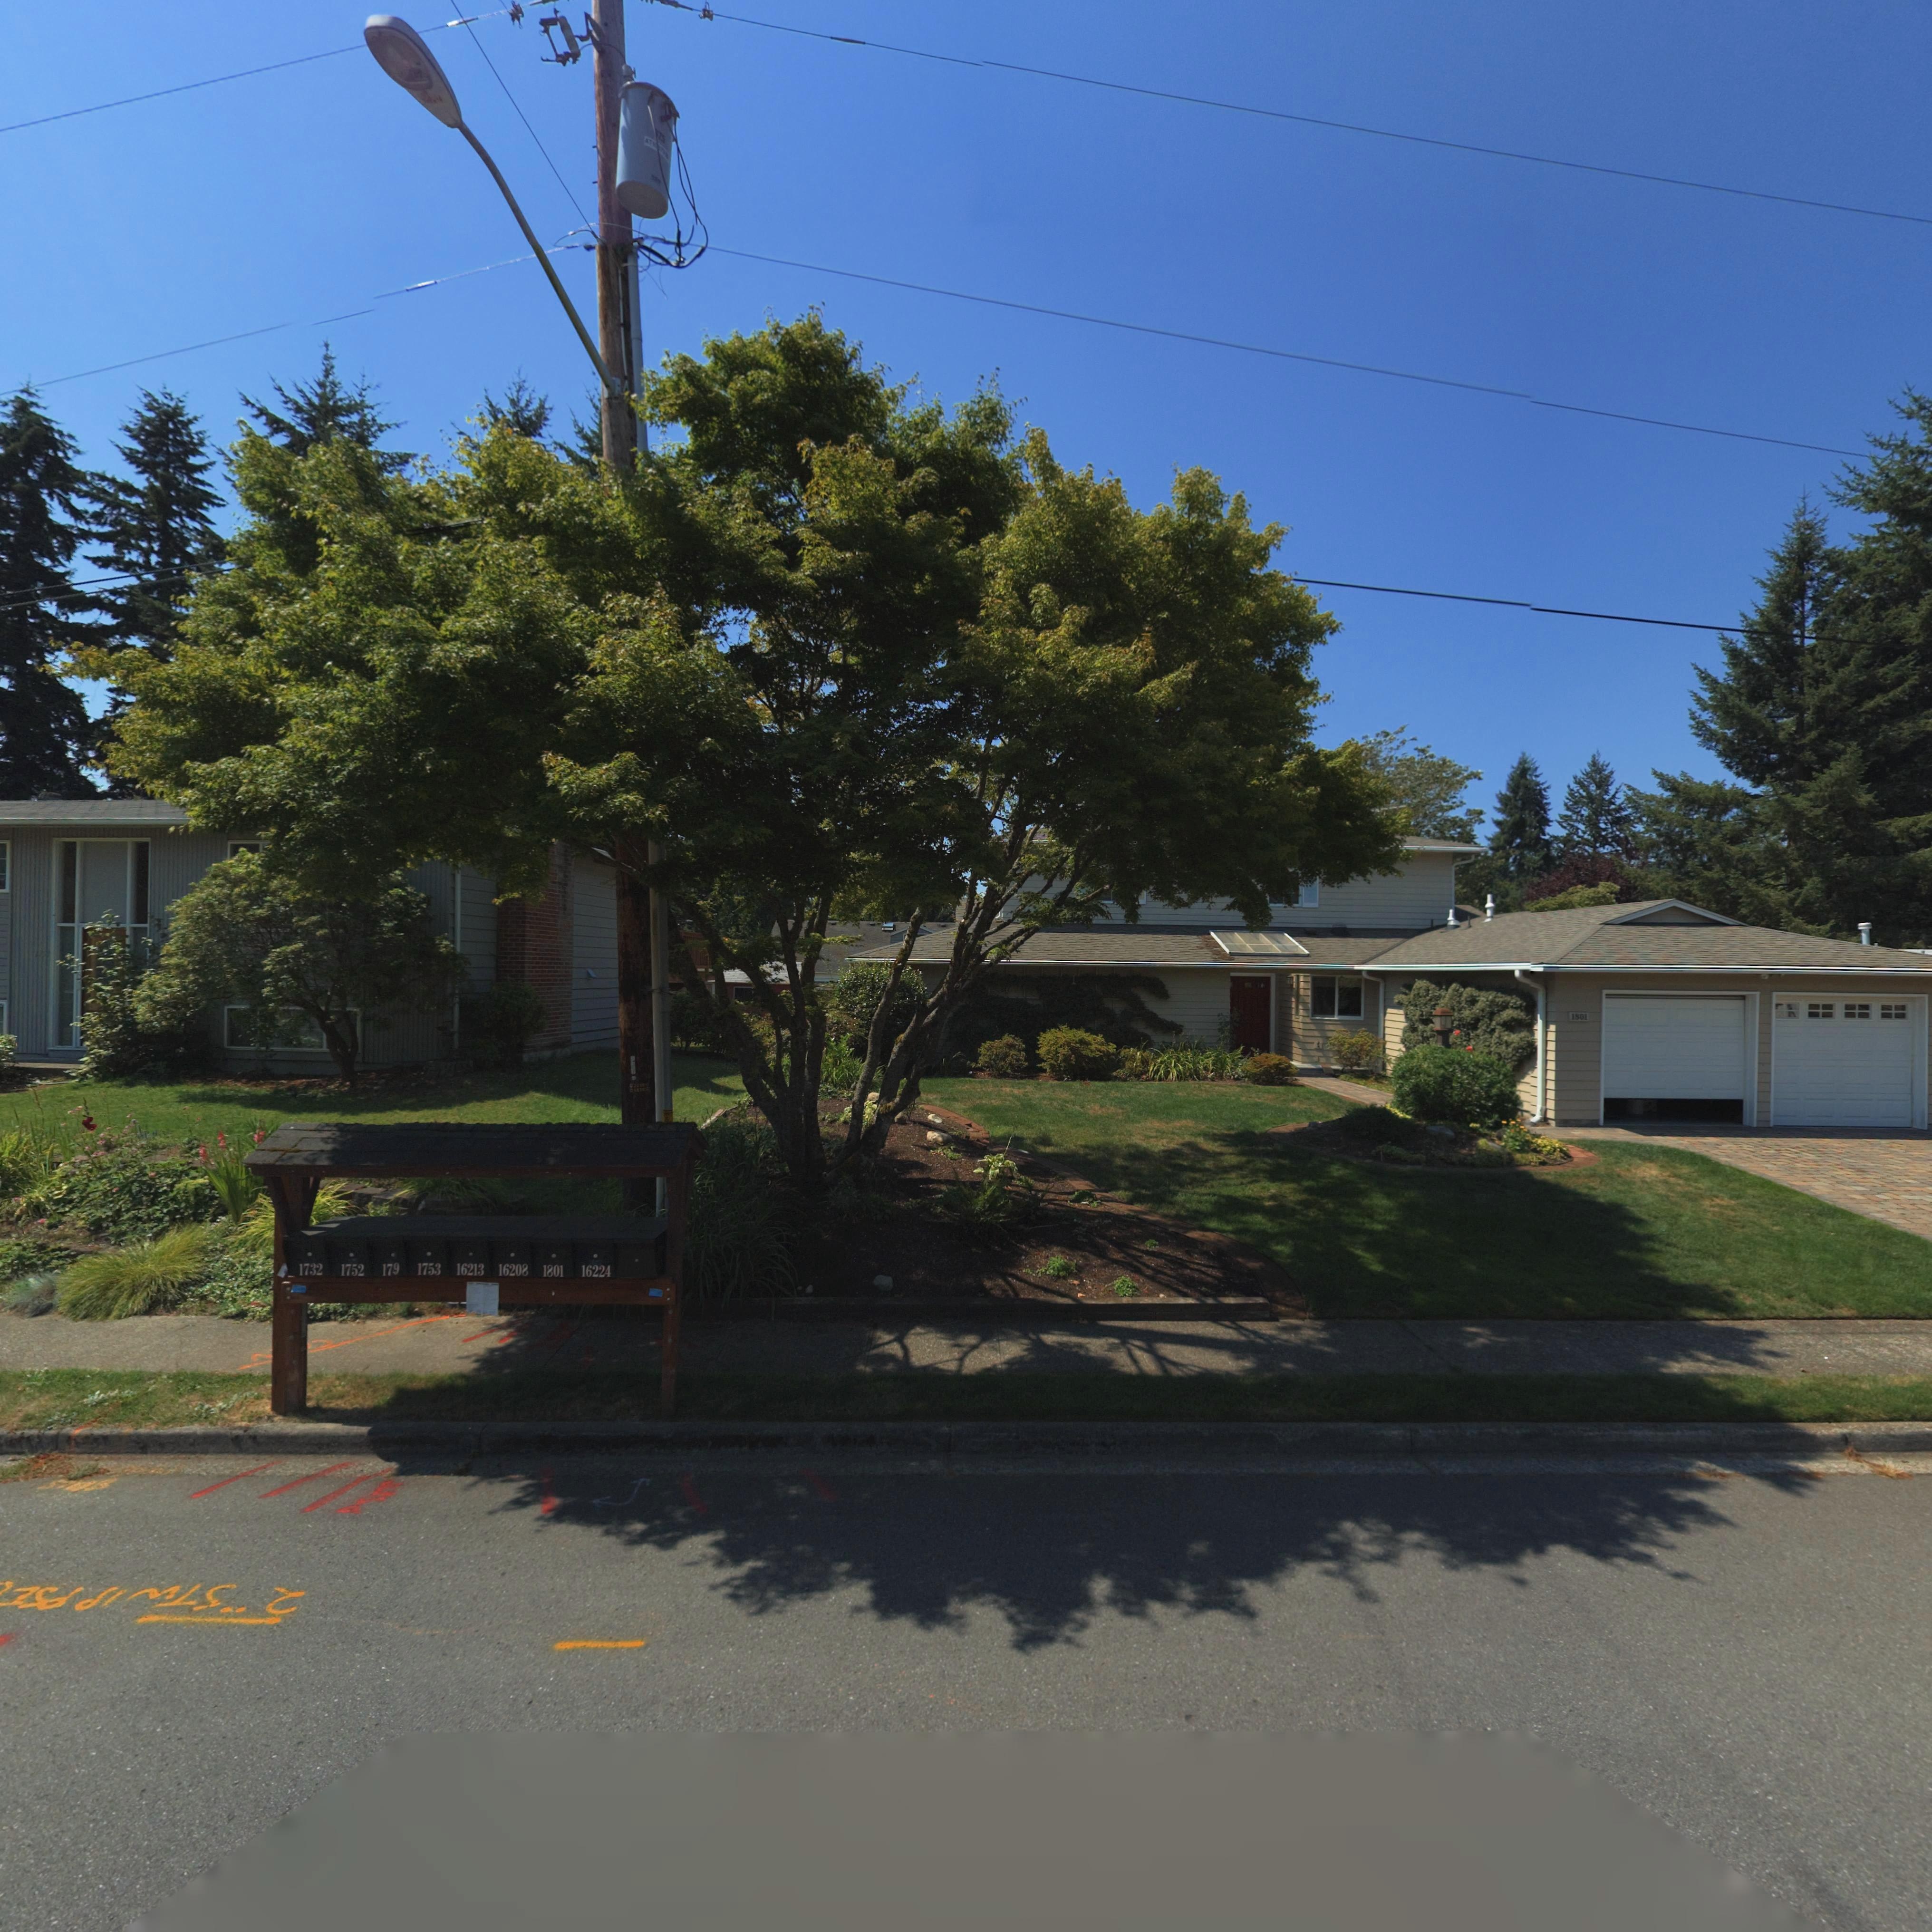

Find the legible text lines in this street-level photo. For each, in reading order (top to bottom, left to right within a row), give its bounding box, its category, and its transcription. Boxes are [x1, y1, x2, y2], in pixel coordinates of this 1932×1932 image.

[1566, 1011, 1589, 1021] StreetNumber: 1801
[294, 1260, 324, 1280] StreetNumber: 1732
[339, 1262, 366, 1278] StreetNumber: 1752
[415, 1262, 443, 1279] StreetNumber: 1753
[455, 1261, 486, 1278] StreetNumber: 16213
[497, 1262, 528, 1279] StreetNumber: 16208
[541, 1263, 567, 1280] StreetNumber: 1801
[581, 1263, 613, 1281] StreetNumber: 16224